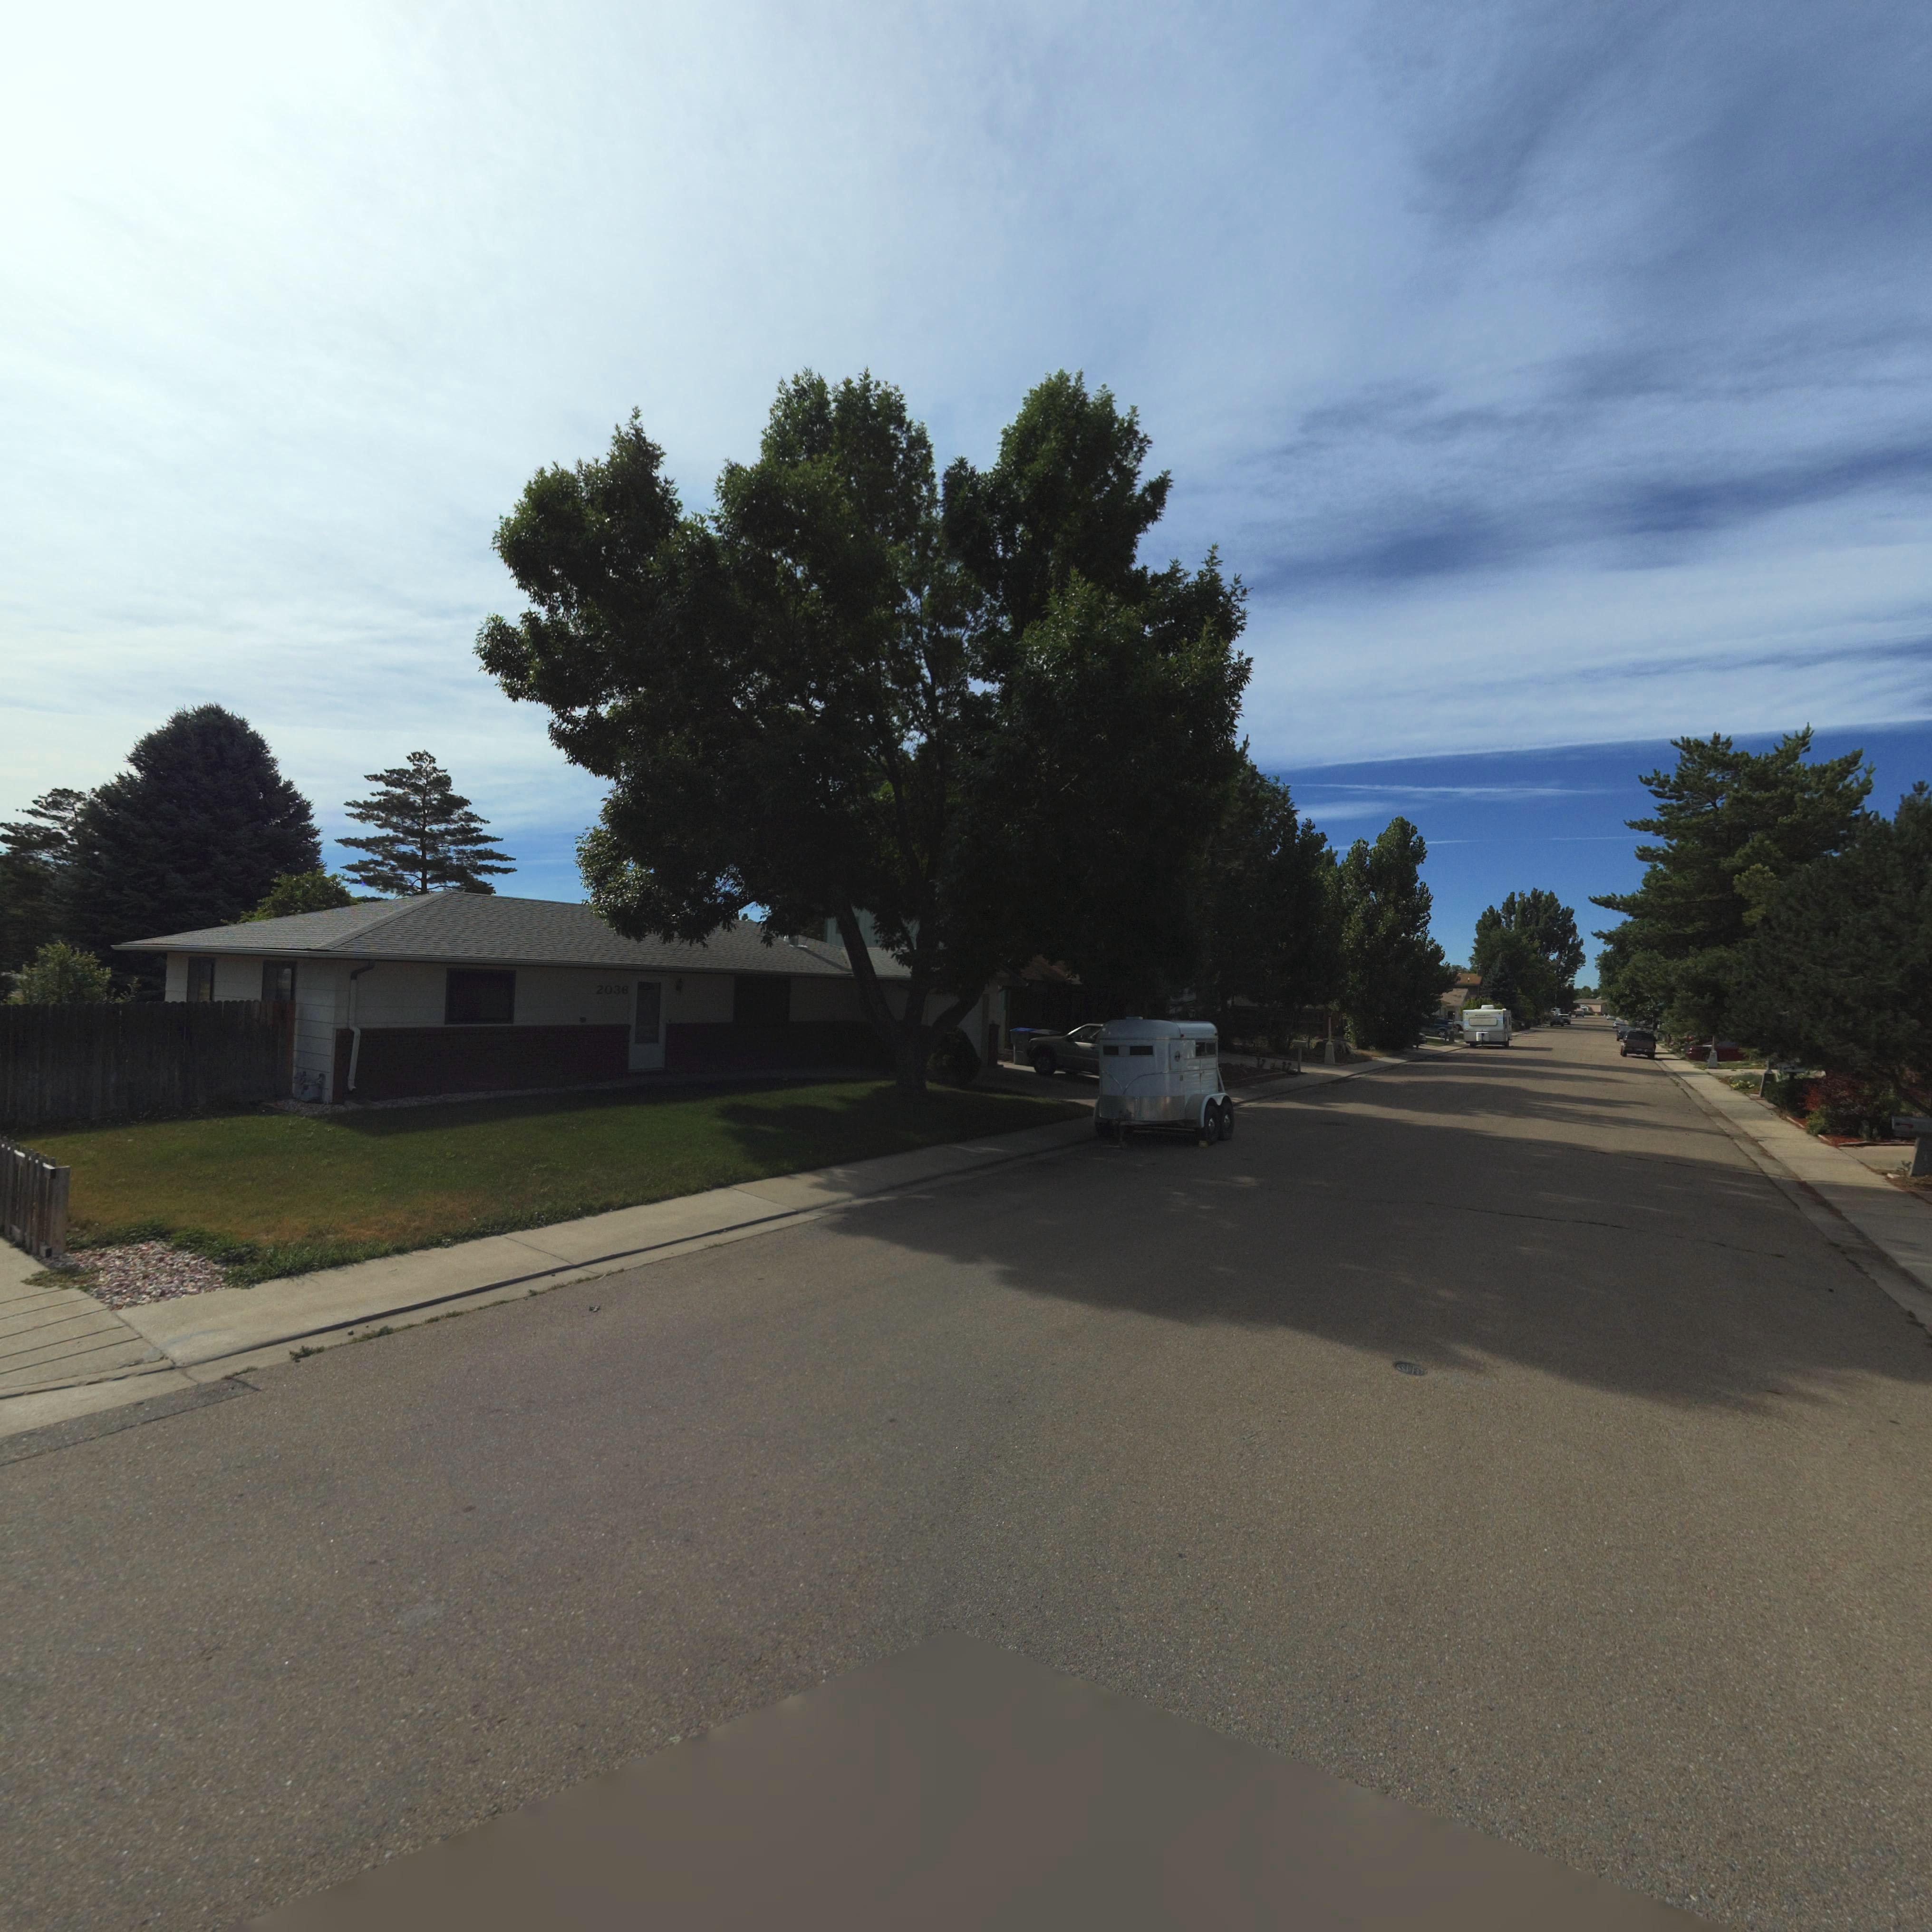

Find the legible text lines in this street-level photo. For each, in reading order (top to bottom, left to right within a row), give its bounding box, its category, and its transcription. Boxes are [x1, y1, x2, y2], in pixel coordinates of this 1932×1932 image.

[596, 984, 628, 995] StreetNumber: 2036